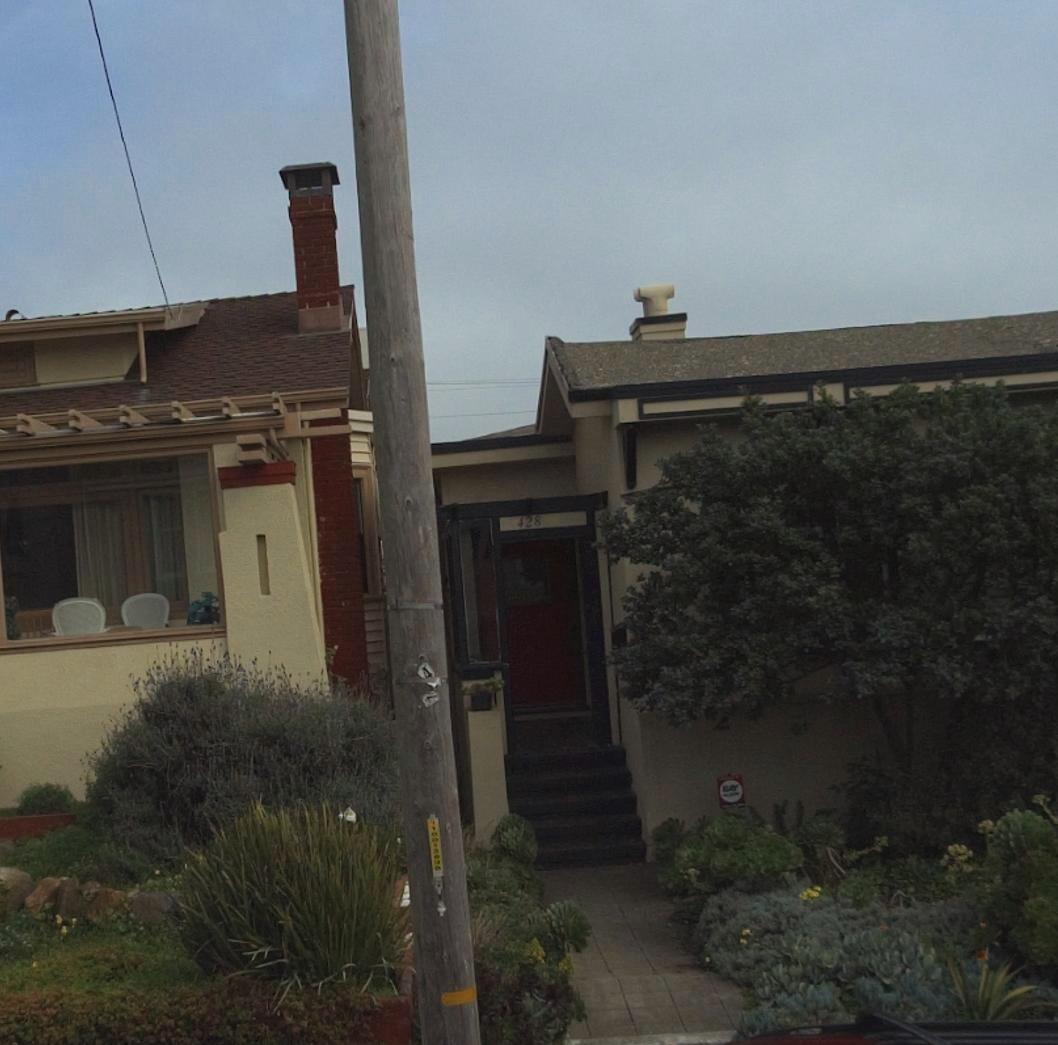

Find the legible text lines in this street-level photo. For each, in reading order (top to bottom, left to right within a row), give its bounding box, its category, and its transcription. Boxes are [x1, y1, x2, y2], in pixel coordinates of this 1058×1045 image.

[515, 514, 542, 529] StreetNumber: 428
[429, 820, 442, 872] None: 11))*****